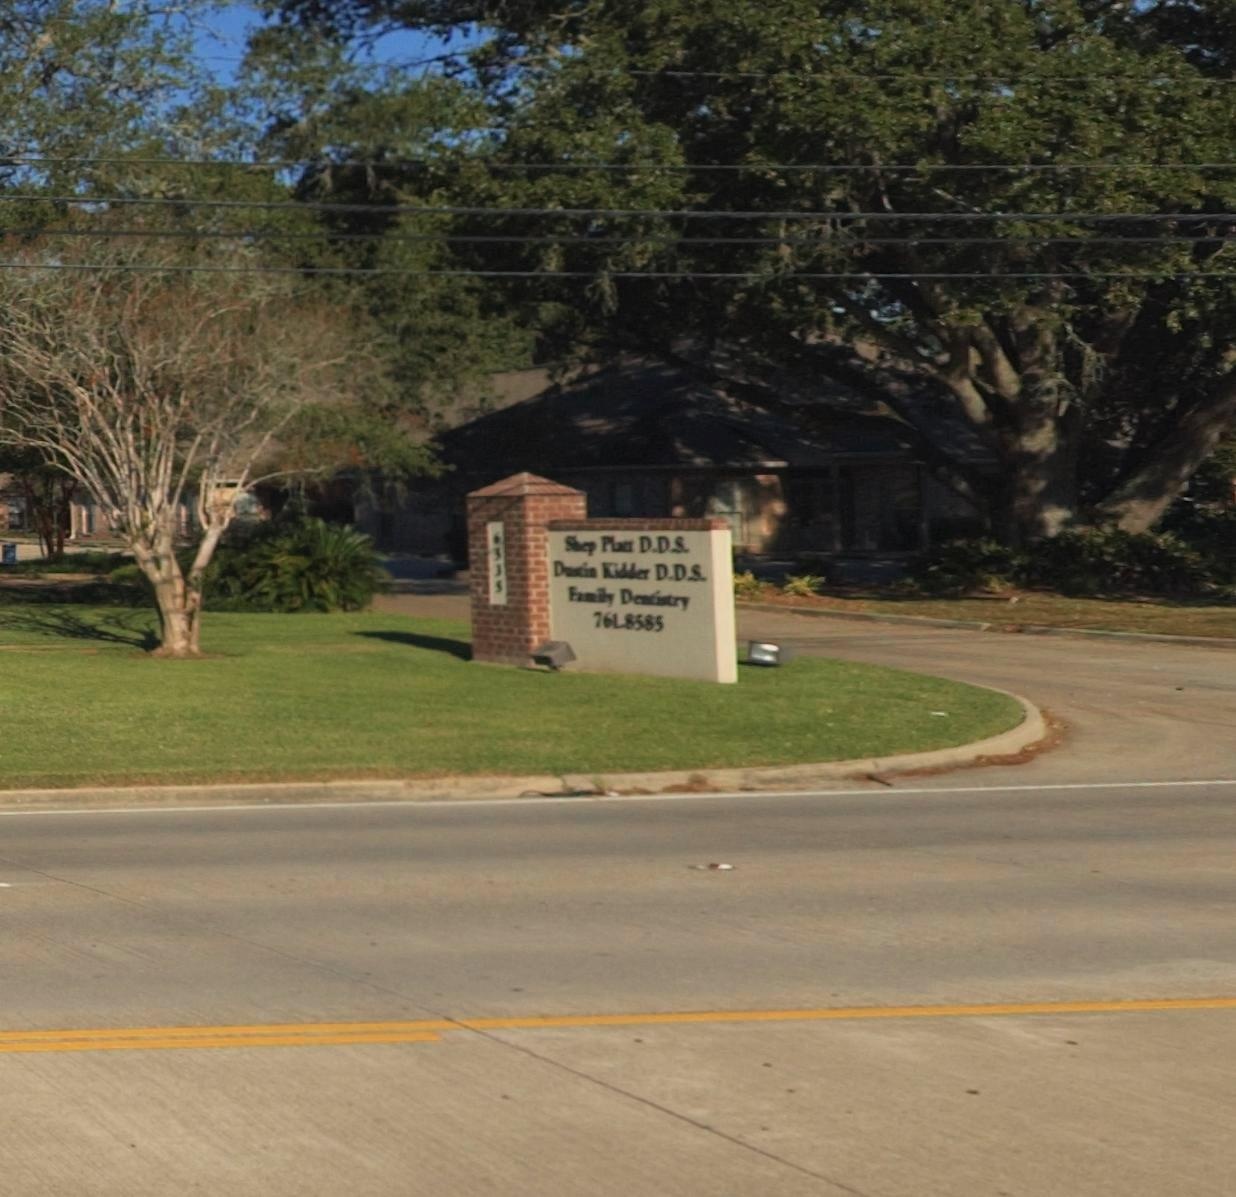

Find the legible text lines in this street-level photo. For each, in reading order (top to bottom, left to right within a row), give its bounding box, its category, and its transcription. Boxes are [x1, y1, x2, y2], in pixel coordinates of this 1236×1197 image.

[561, 532, 692, 558] BusinessName: Shep Platt D.D.S.
[491, 529, 505, 597] StreetNumber: 6335
[551, 559, 708, 585] BusinessName: Dustin Kidder D.D.S.
[564, 584, 693, 614] BusinessName: Family Dentistry
[591, 609, 667, 635] None: 761.8585